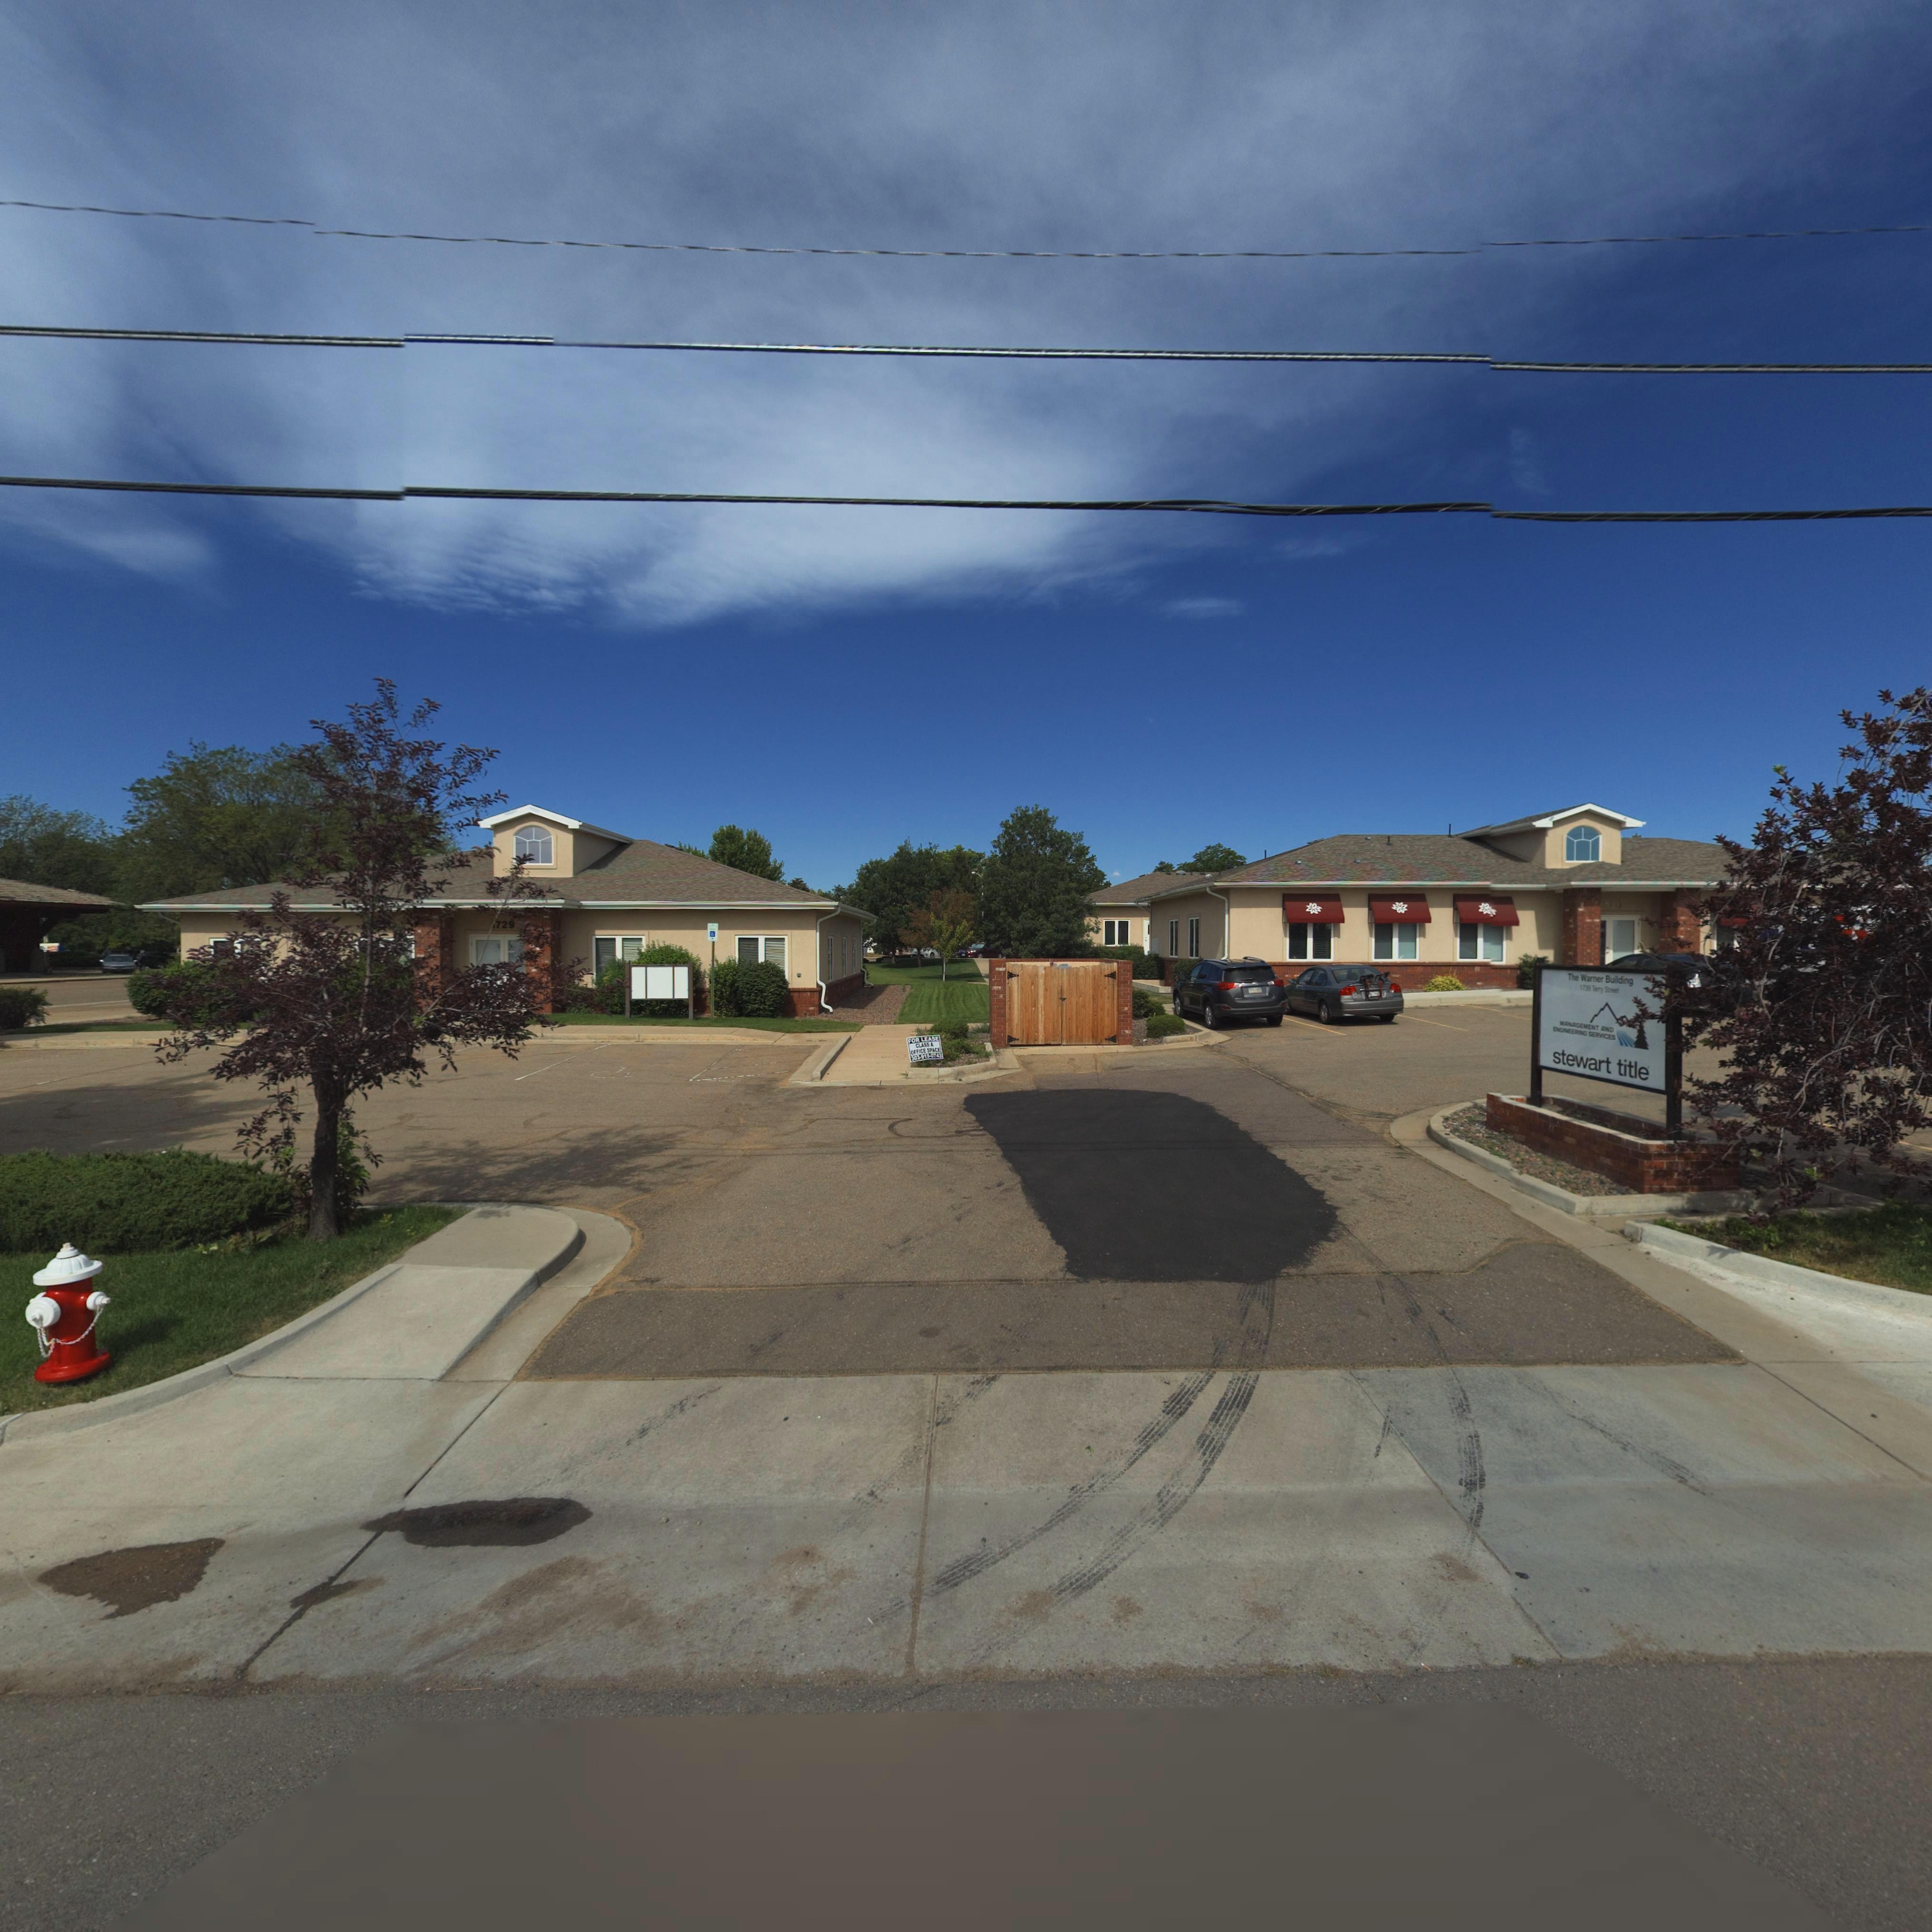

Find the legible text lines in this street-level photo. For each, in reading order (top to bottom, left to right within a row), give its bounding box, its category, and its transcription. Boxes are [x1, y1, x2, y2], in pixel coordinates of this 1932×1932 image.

[495, 920, 514, 929] StreetNumber: 729
[1567, 972, 1634, 987] BusinessName: The Warner Building
[1579, 984, 1592, 992] StreetNumber: 1739
[1592, 984, 1620, 994] StreetName: Terry Street
[1559, 1020, 1614, 1033] BusinessName: MANAGEMENT AND
[1553, 1026, 1616, 1041] BusinessName: ENGINEERING SERVICES
[1552, 1048, 1650, 1082] BusinessName: stewart title